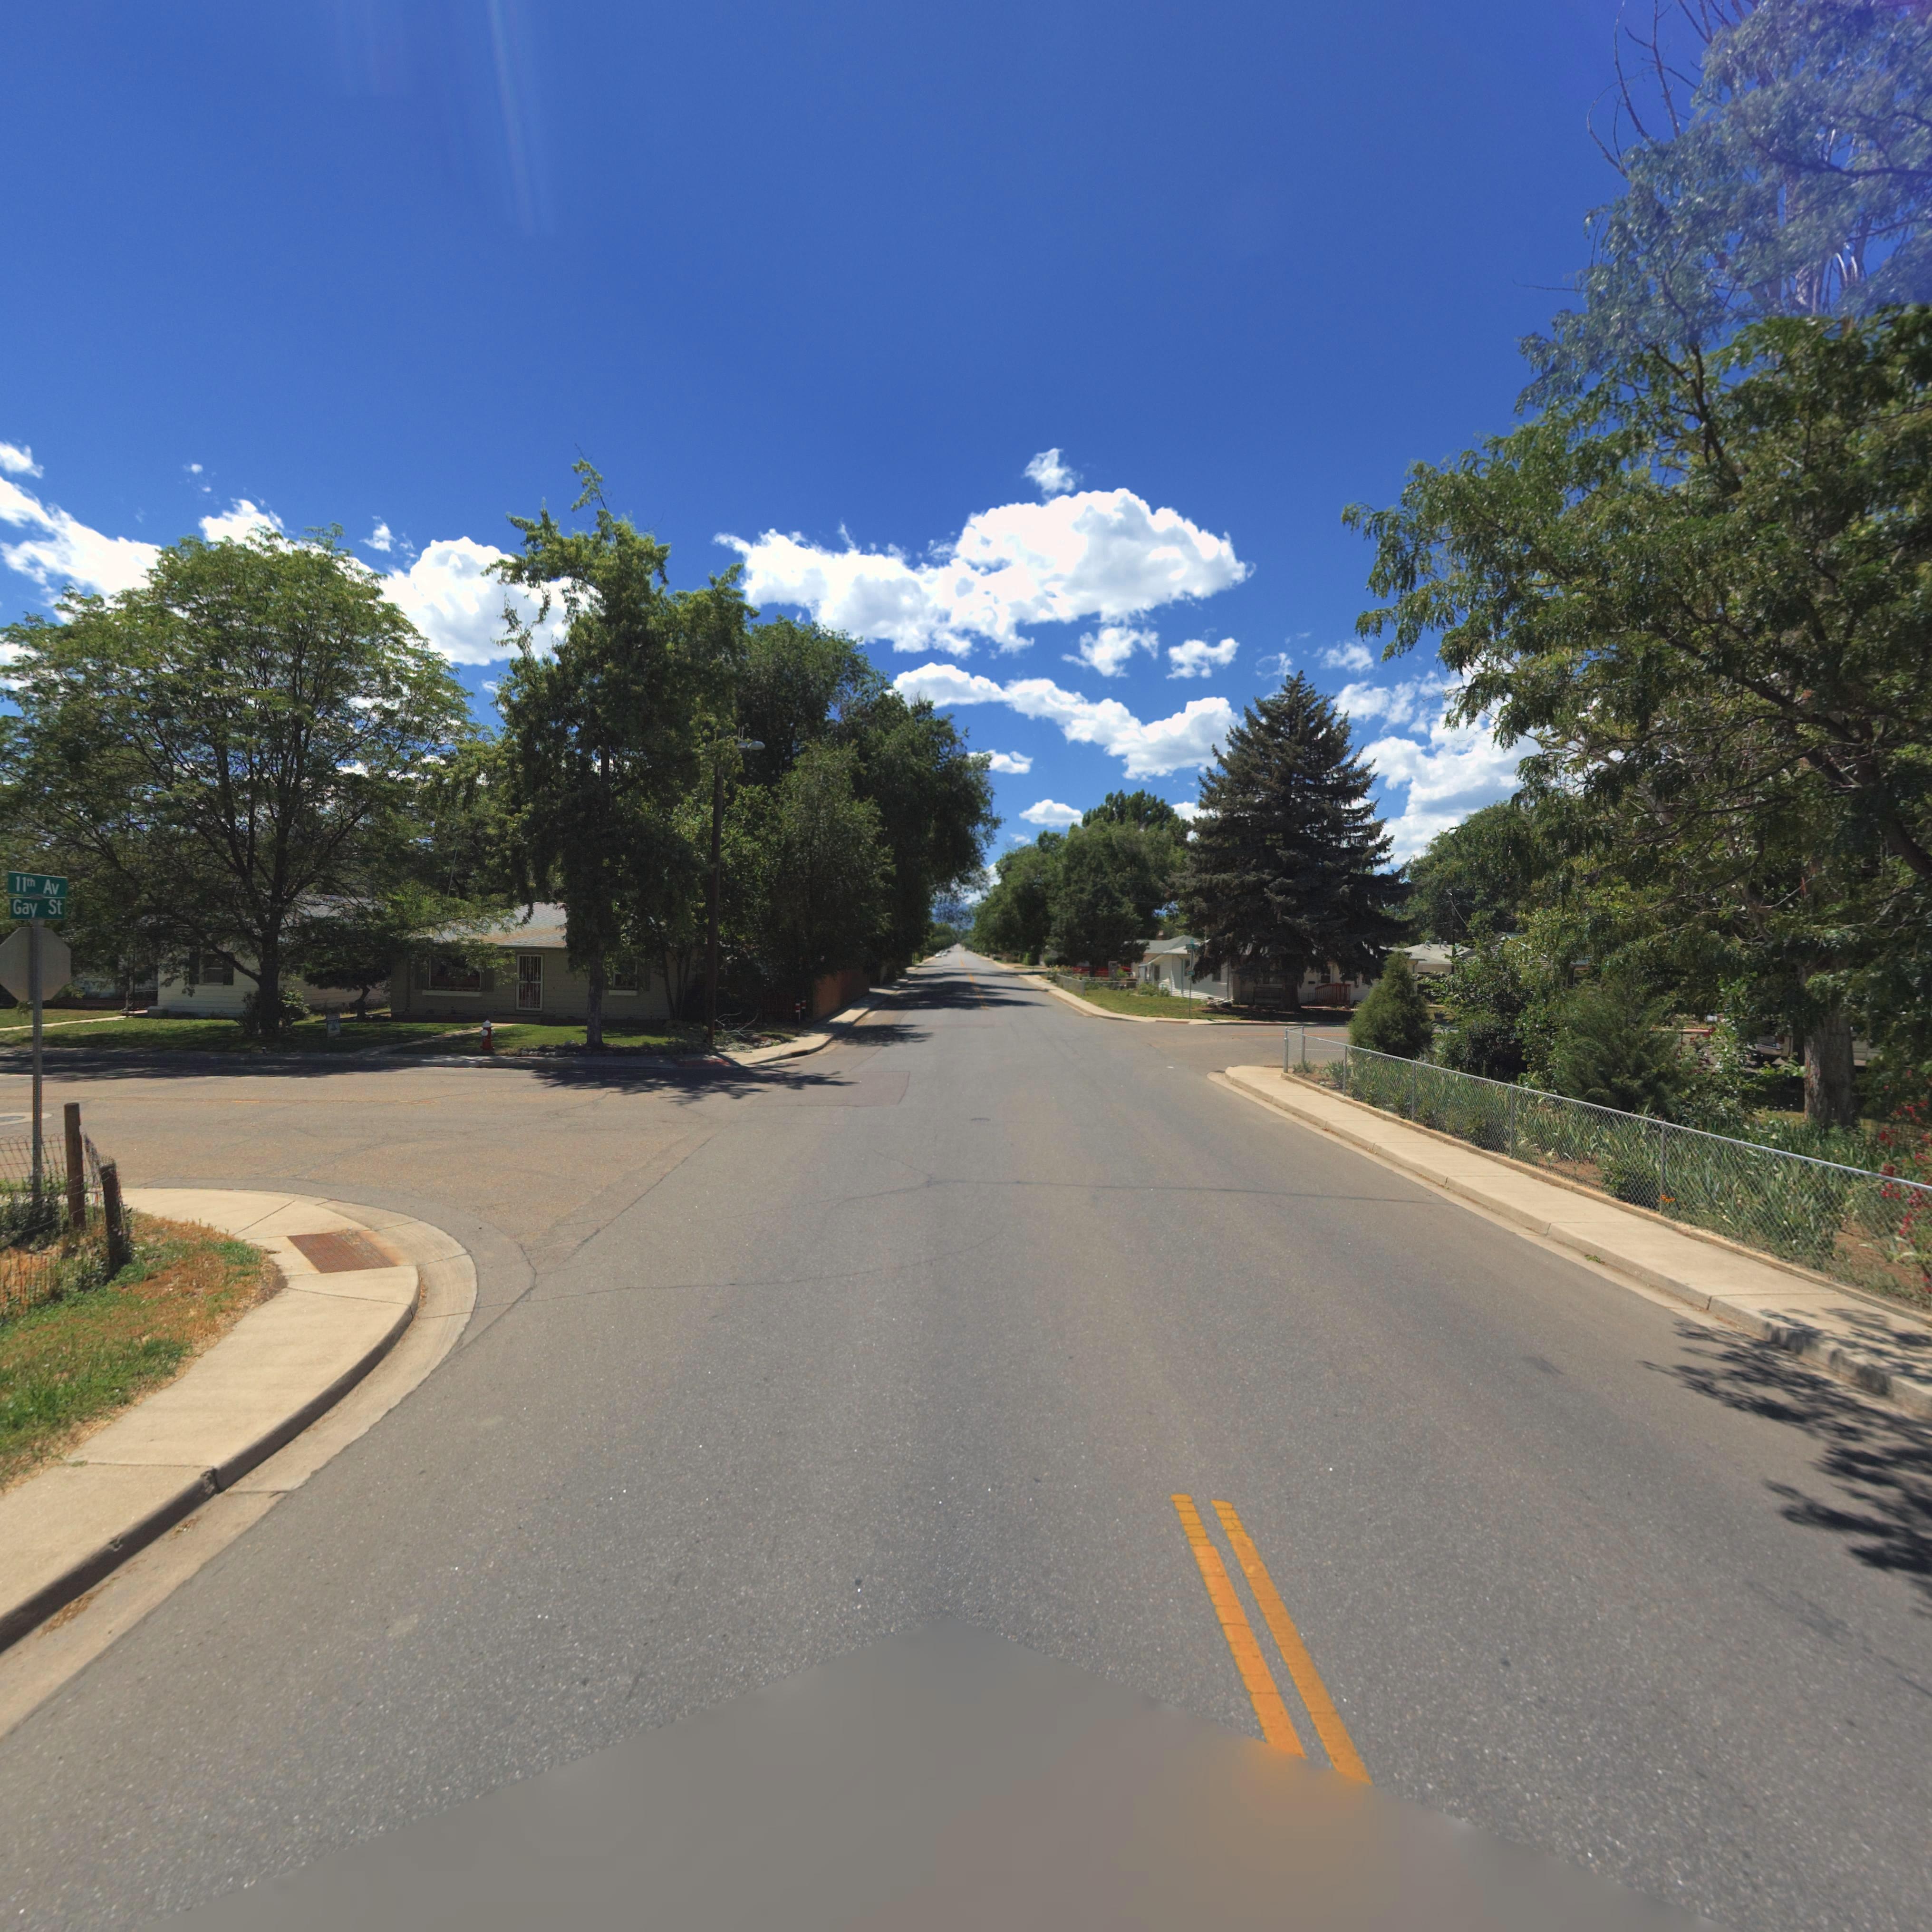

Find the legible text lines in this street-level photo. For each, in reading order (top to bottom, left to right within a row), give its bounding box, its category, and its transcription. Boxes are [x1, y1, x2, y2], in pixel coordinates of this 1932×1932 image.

[16, 875, 60, 895] StreetName: 11th Av
[12, 899, 62, 918] StreetName: Gay St
[1186, 944, 1198, 949] StreetName: G*y **